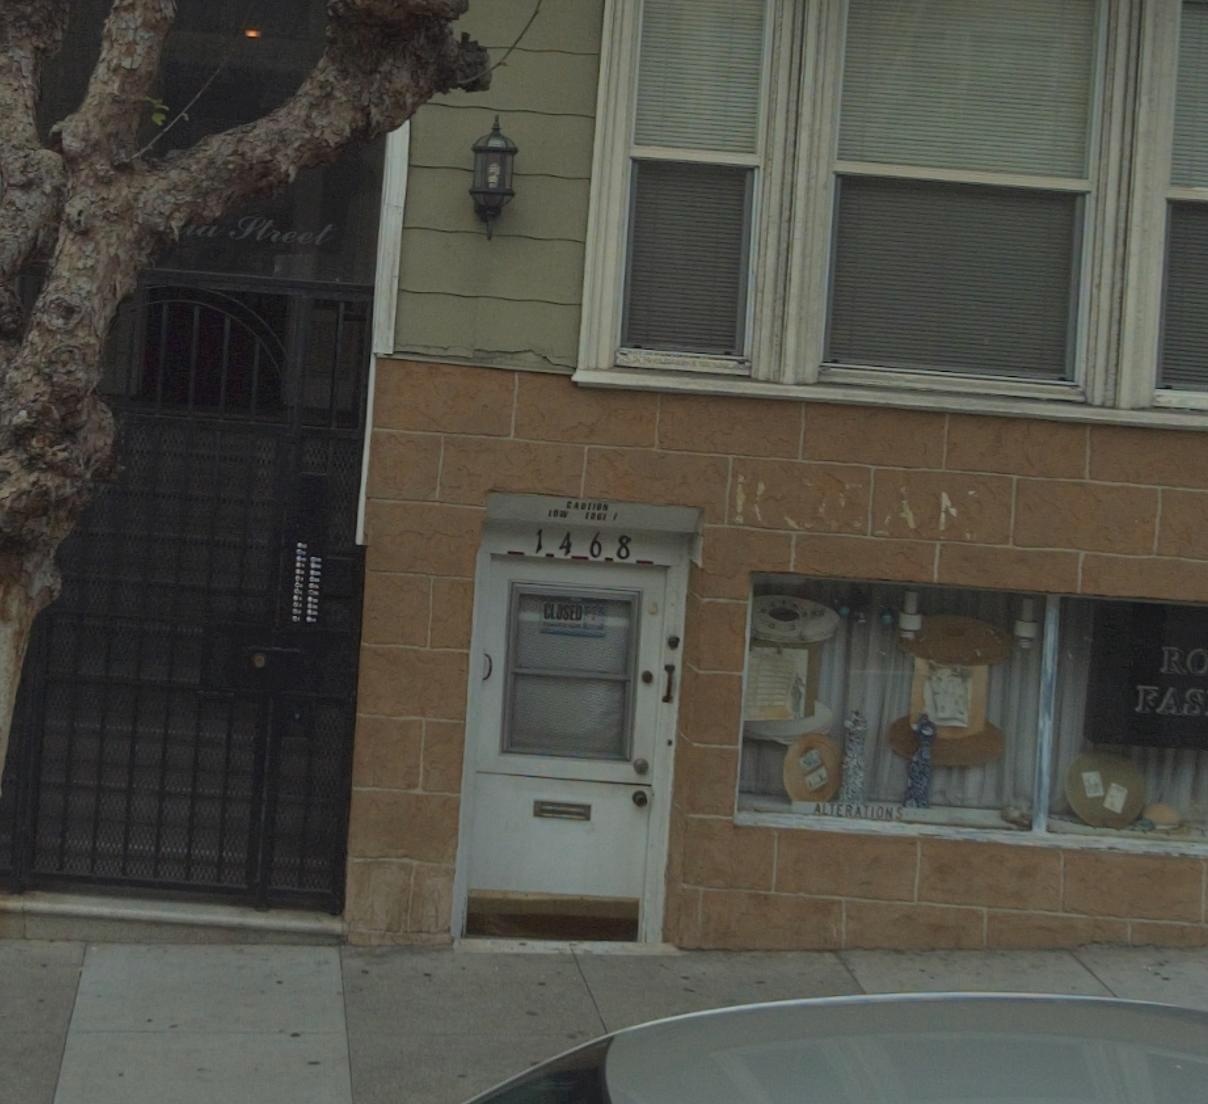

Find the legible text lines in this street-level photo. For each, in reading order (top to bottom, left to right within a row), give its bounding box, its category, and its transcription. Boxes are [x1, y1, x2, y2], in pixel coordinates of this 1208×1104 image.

[227, 213, 338, 250] StreetName: Street
[546, 507, 571, 519] None: LOW
[565, 498, 611, 513] None: CAUTION
[532, 527, 635, 561] StreetNumber: 1468
[542, 600, 585, 622] None: CLOSED
[1159, 644, 1190, 678] BusinessName: R
[1133, 683, 1207, 717] BusinessName: *AS
[810, 799, 905, 822] None: ALTERATIONS